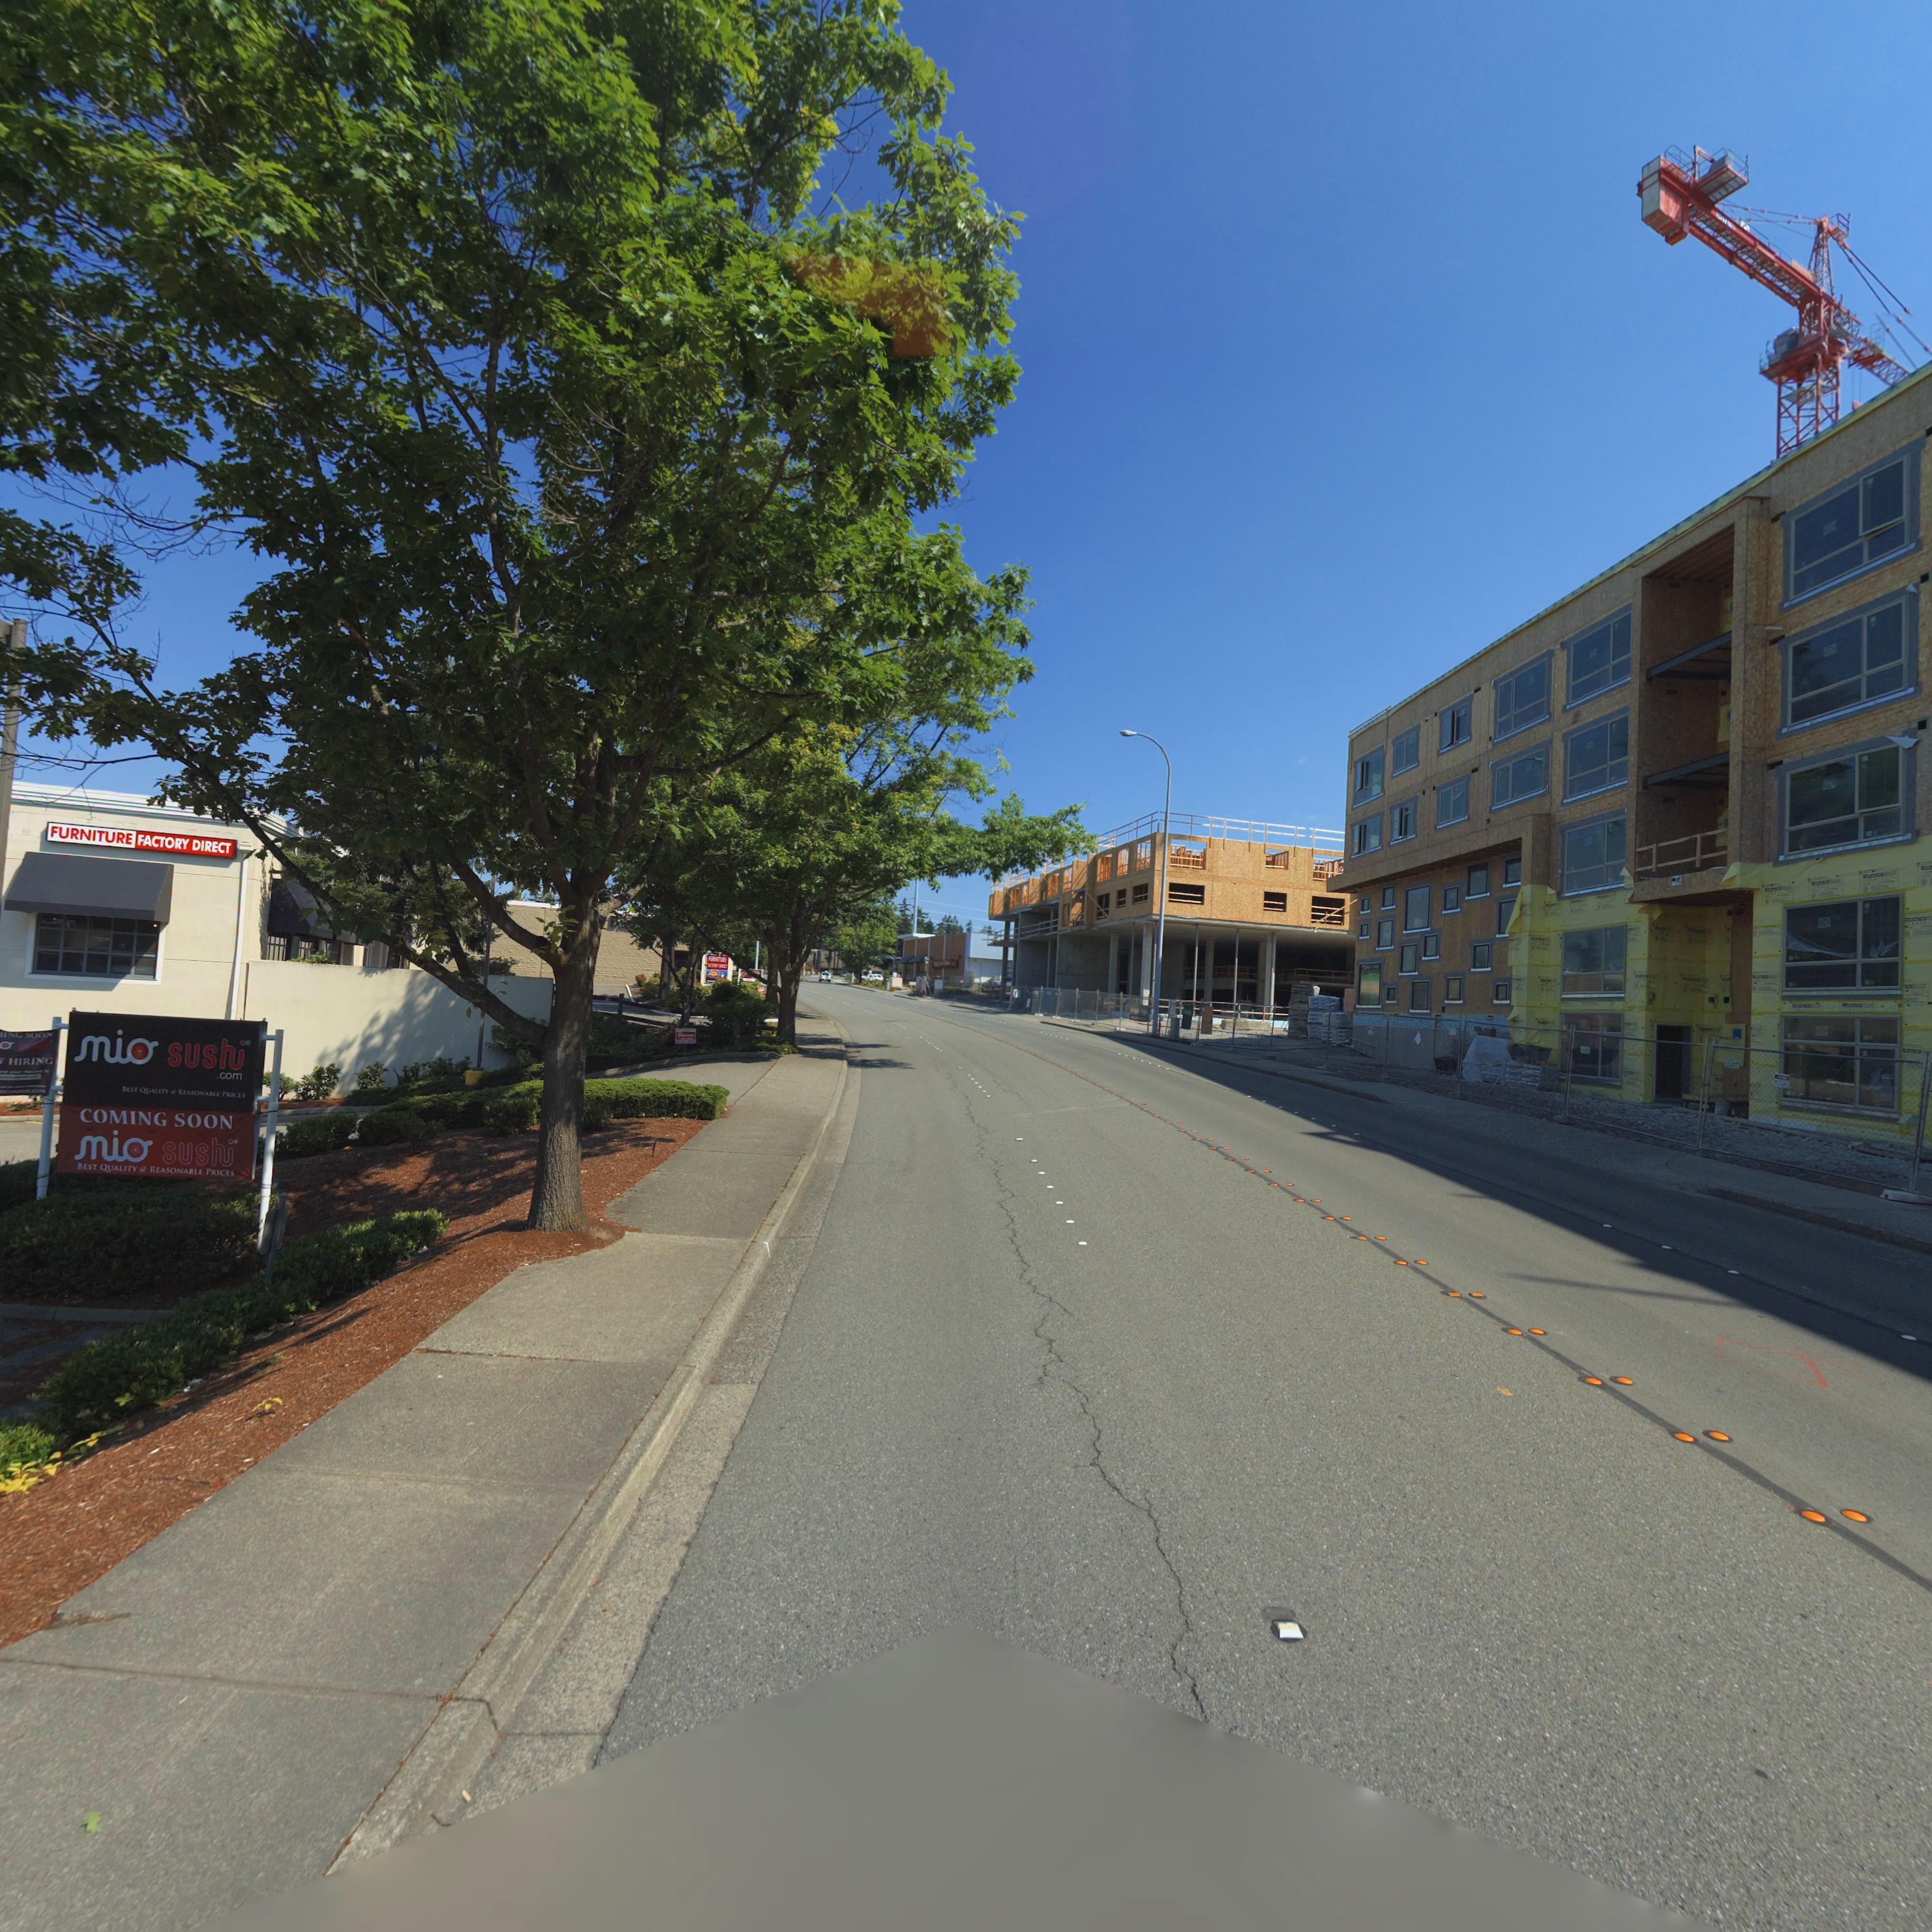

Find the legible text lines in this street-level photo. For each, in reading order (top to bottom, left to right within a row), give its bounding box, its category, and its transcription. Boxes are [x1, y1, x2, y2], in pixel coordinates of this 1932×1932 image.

[50, 825, 232, 854] BusinessName: FURNITURE FACTORY DIRECT
[708, 956, 727, 963] BusinessName: FURN*TURE
[0, 1040, 14, 1050] BusinessName: o
[72, 1028, 246, 1071] BusinessName: mio sushi
[74, 1129, 234, 1168] BusinessName: mio sushi